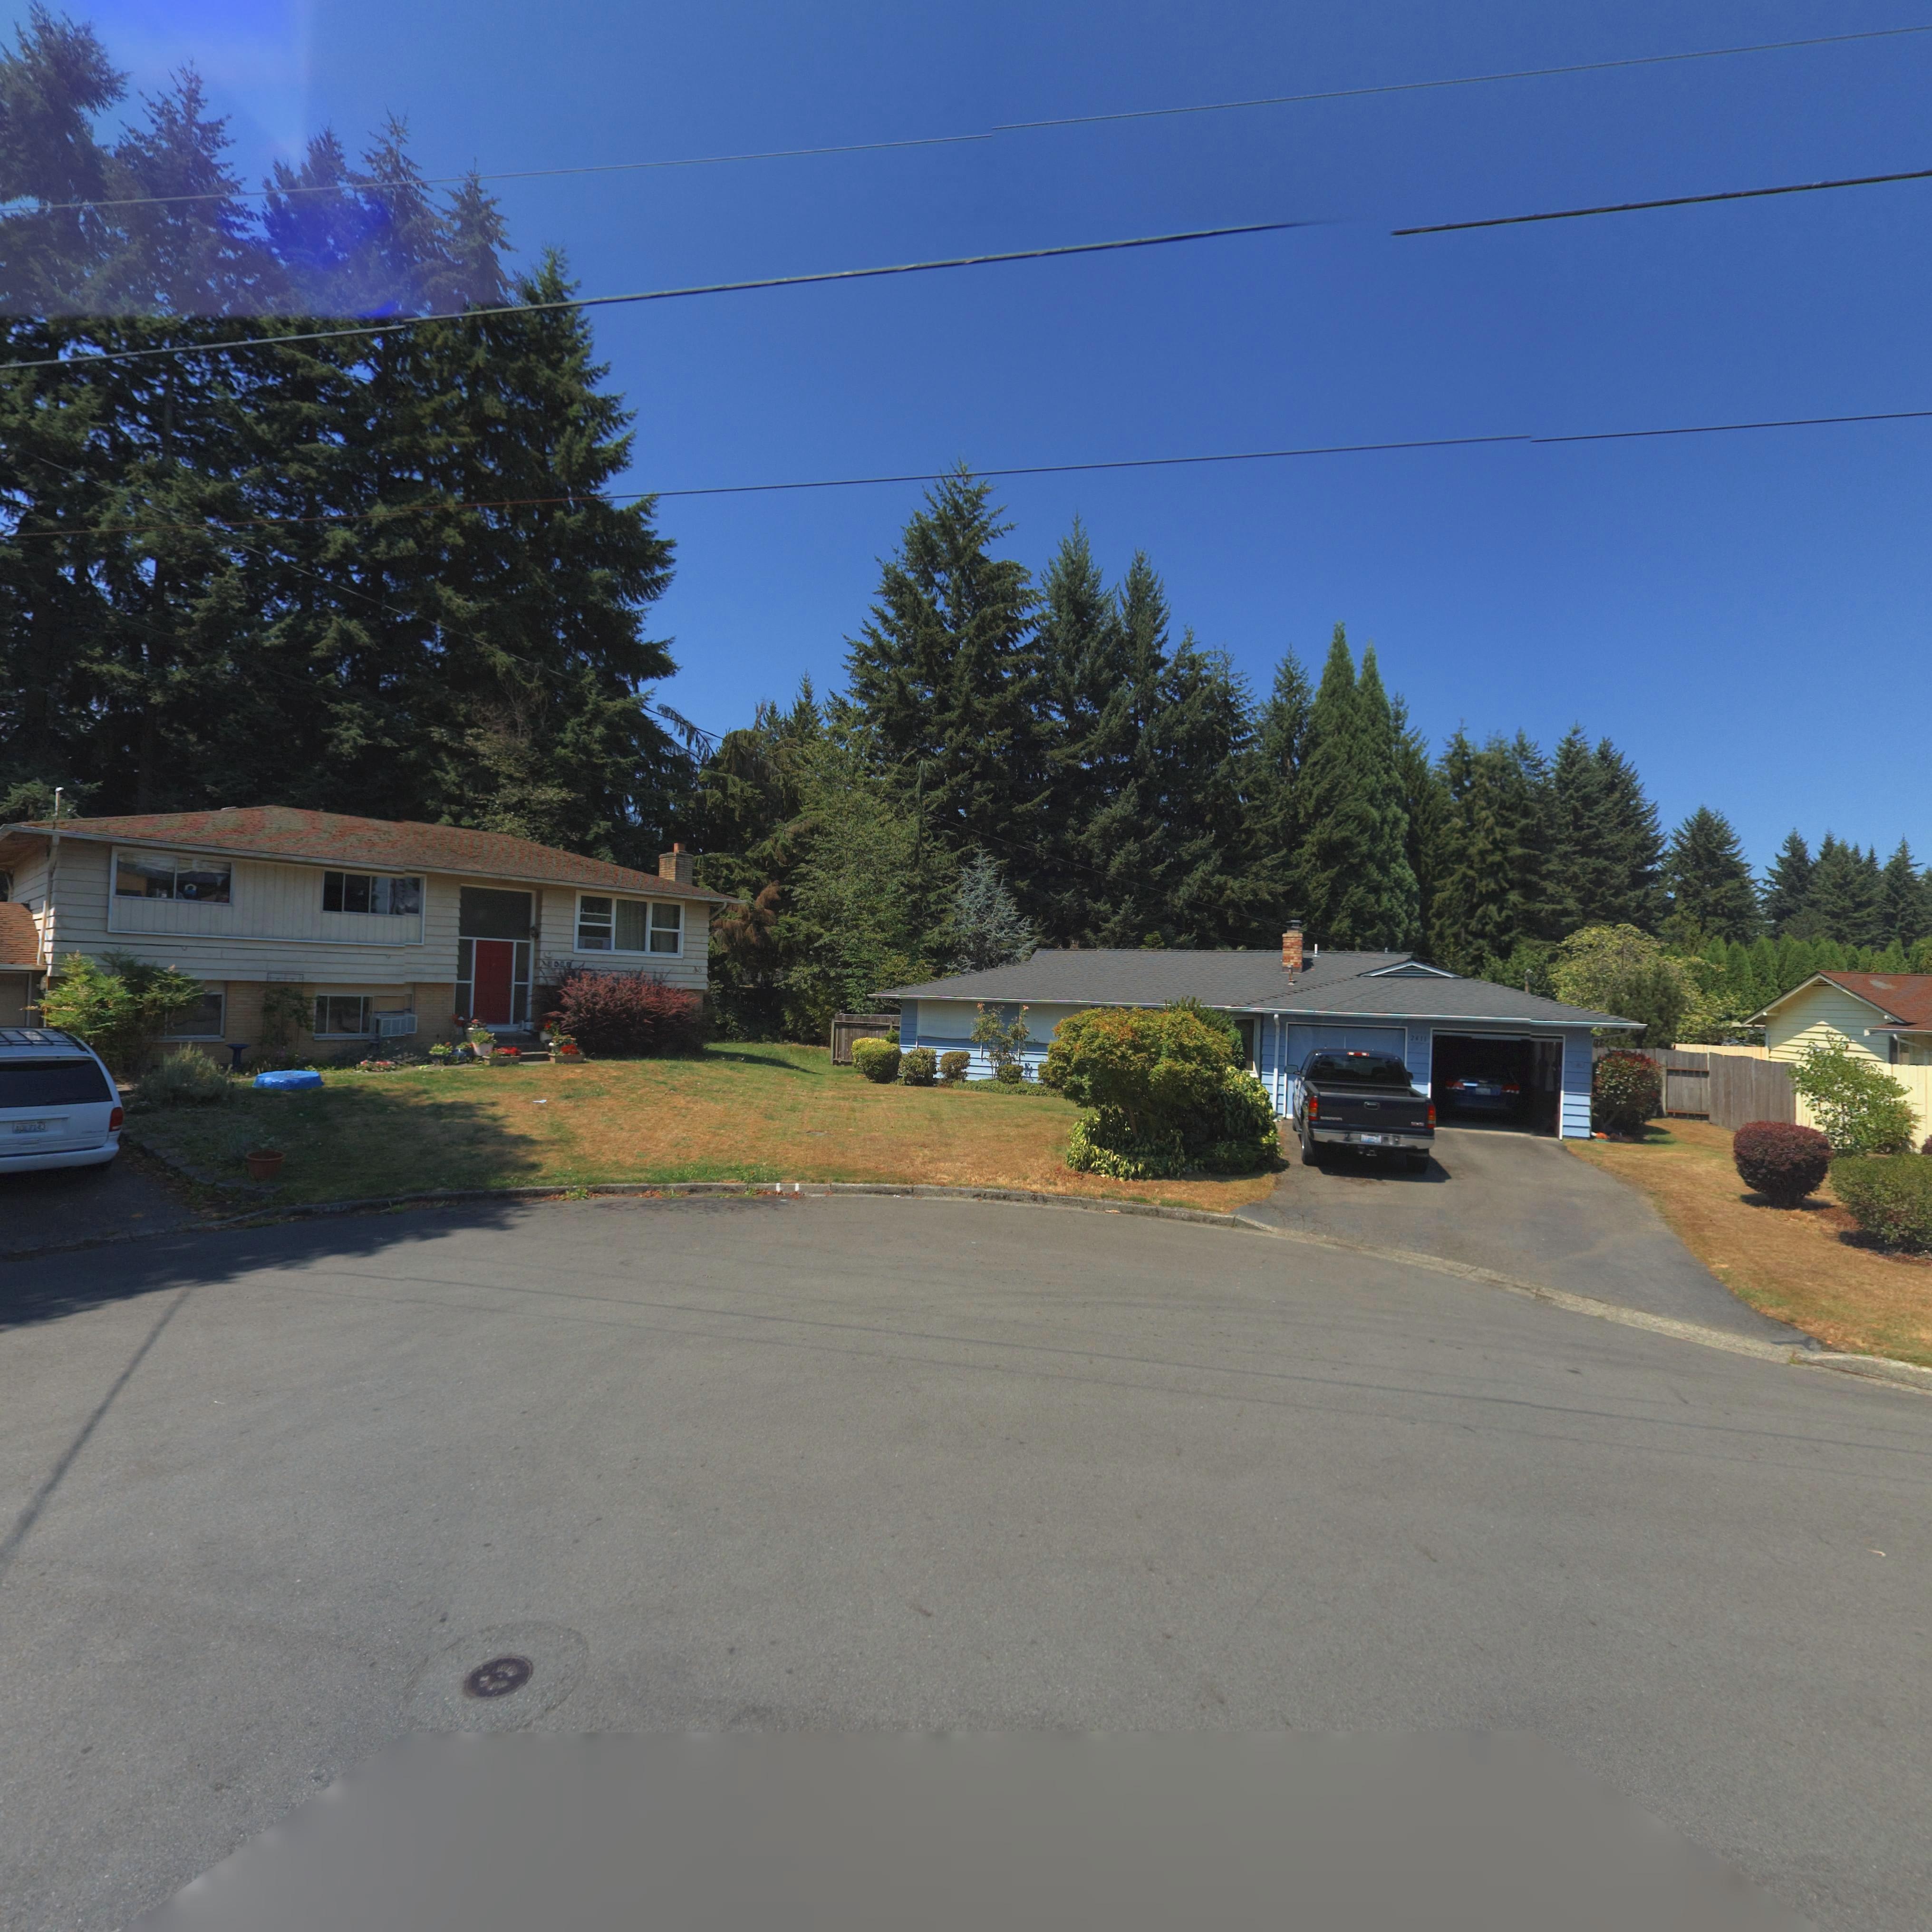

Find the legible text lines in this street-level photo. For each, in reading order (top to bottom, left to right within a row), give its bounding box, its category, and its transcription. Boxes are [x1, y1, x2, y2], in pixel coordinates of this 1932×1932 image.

[1410, 1034, 1427, 1042] StreetNumber: 2411